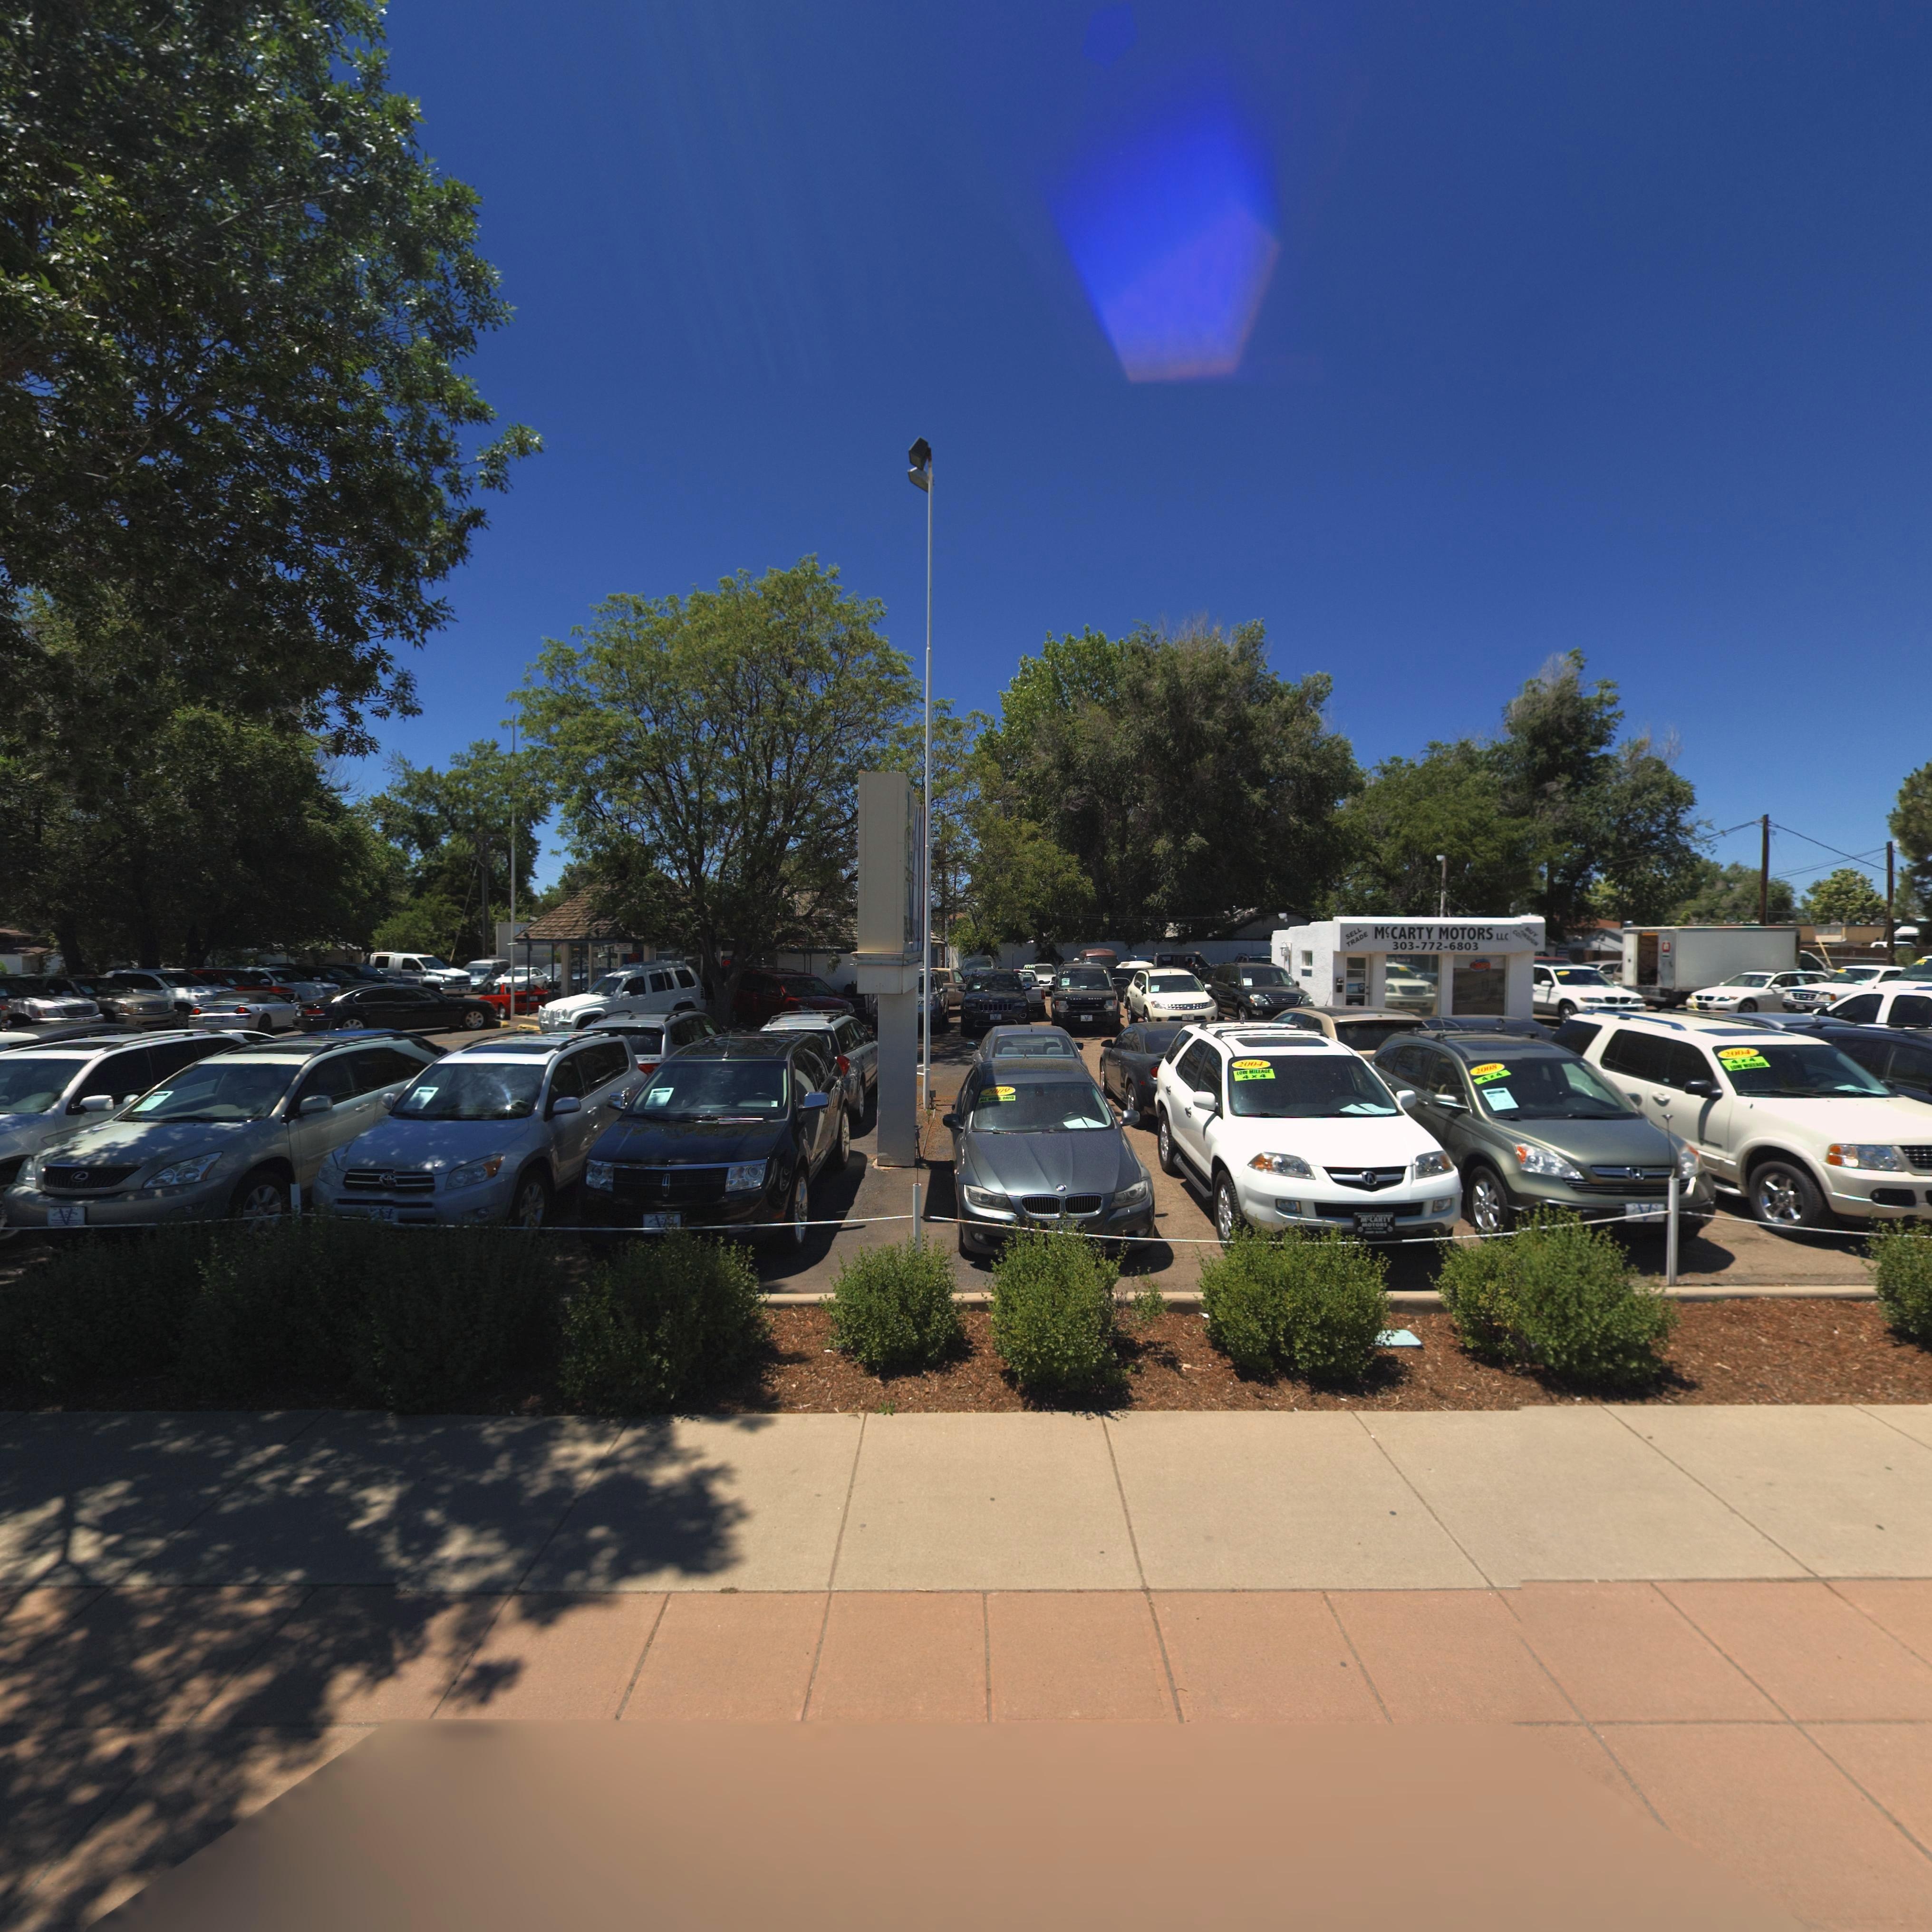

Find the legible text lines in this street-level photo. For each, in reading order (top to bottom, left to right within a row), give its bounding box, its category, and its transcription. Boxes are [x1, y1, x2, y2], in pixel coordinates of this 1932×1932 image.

[1374, 926, 1494, 940] BusinessName: MCCARTY MOTORS